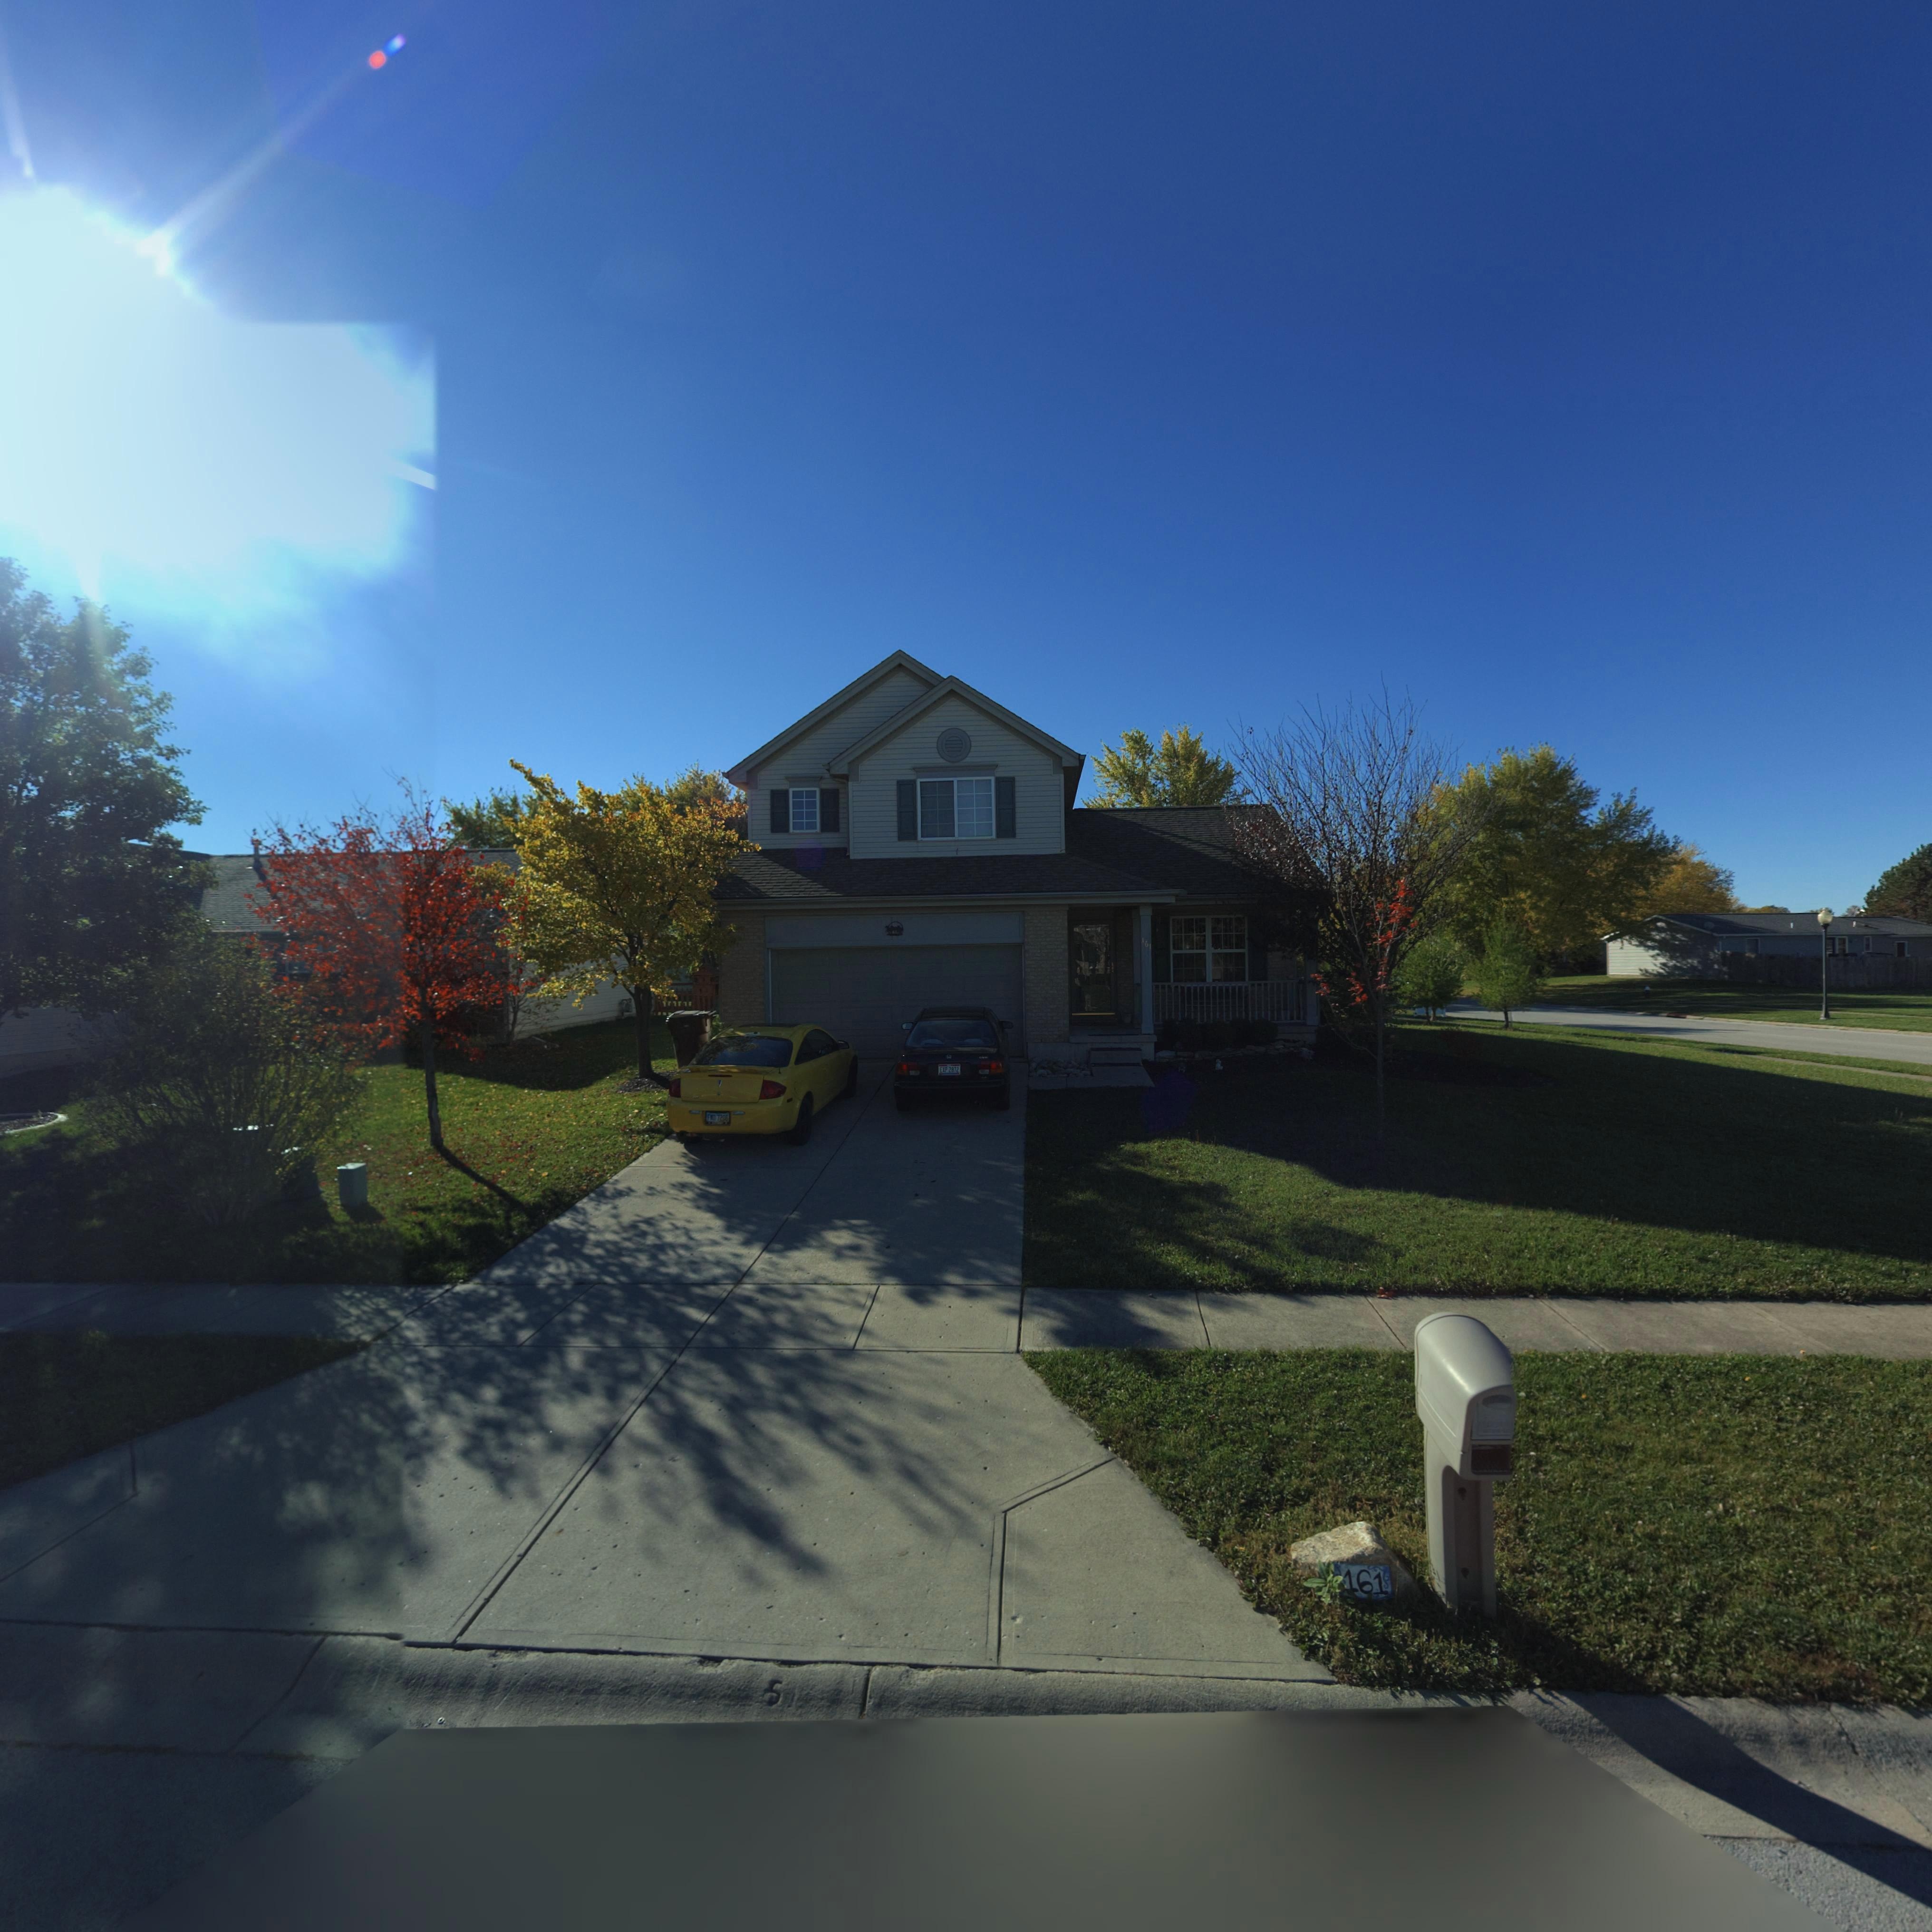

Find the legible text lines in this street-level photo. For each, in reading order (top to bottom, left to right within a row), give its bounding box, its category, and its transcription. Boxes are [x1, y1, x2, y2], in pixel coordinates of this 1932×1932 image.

[1141, 937, 1152, 950] StreetNumber: 161
[1341, 1567, 1390, 1595] StreetNumber: 161